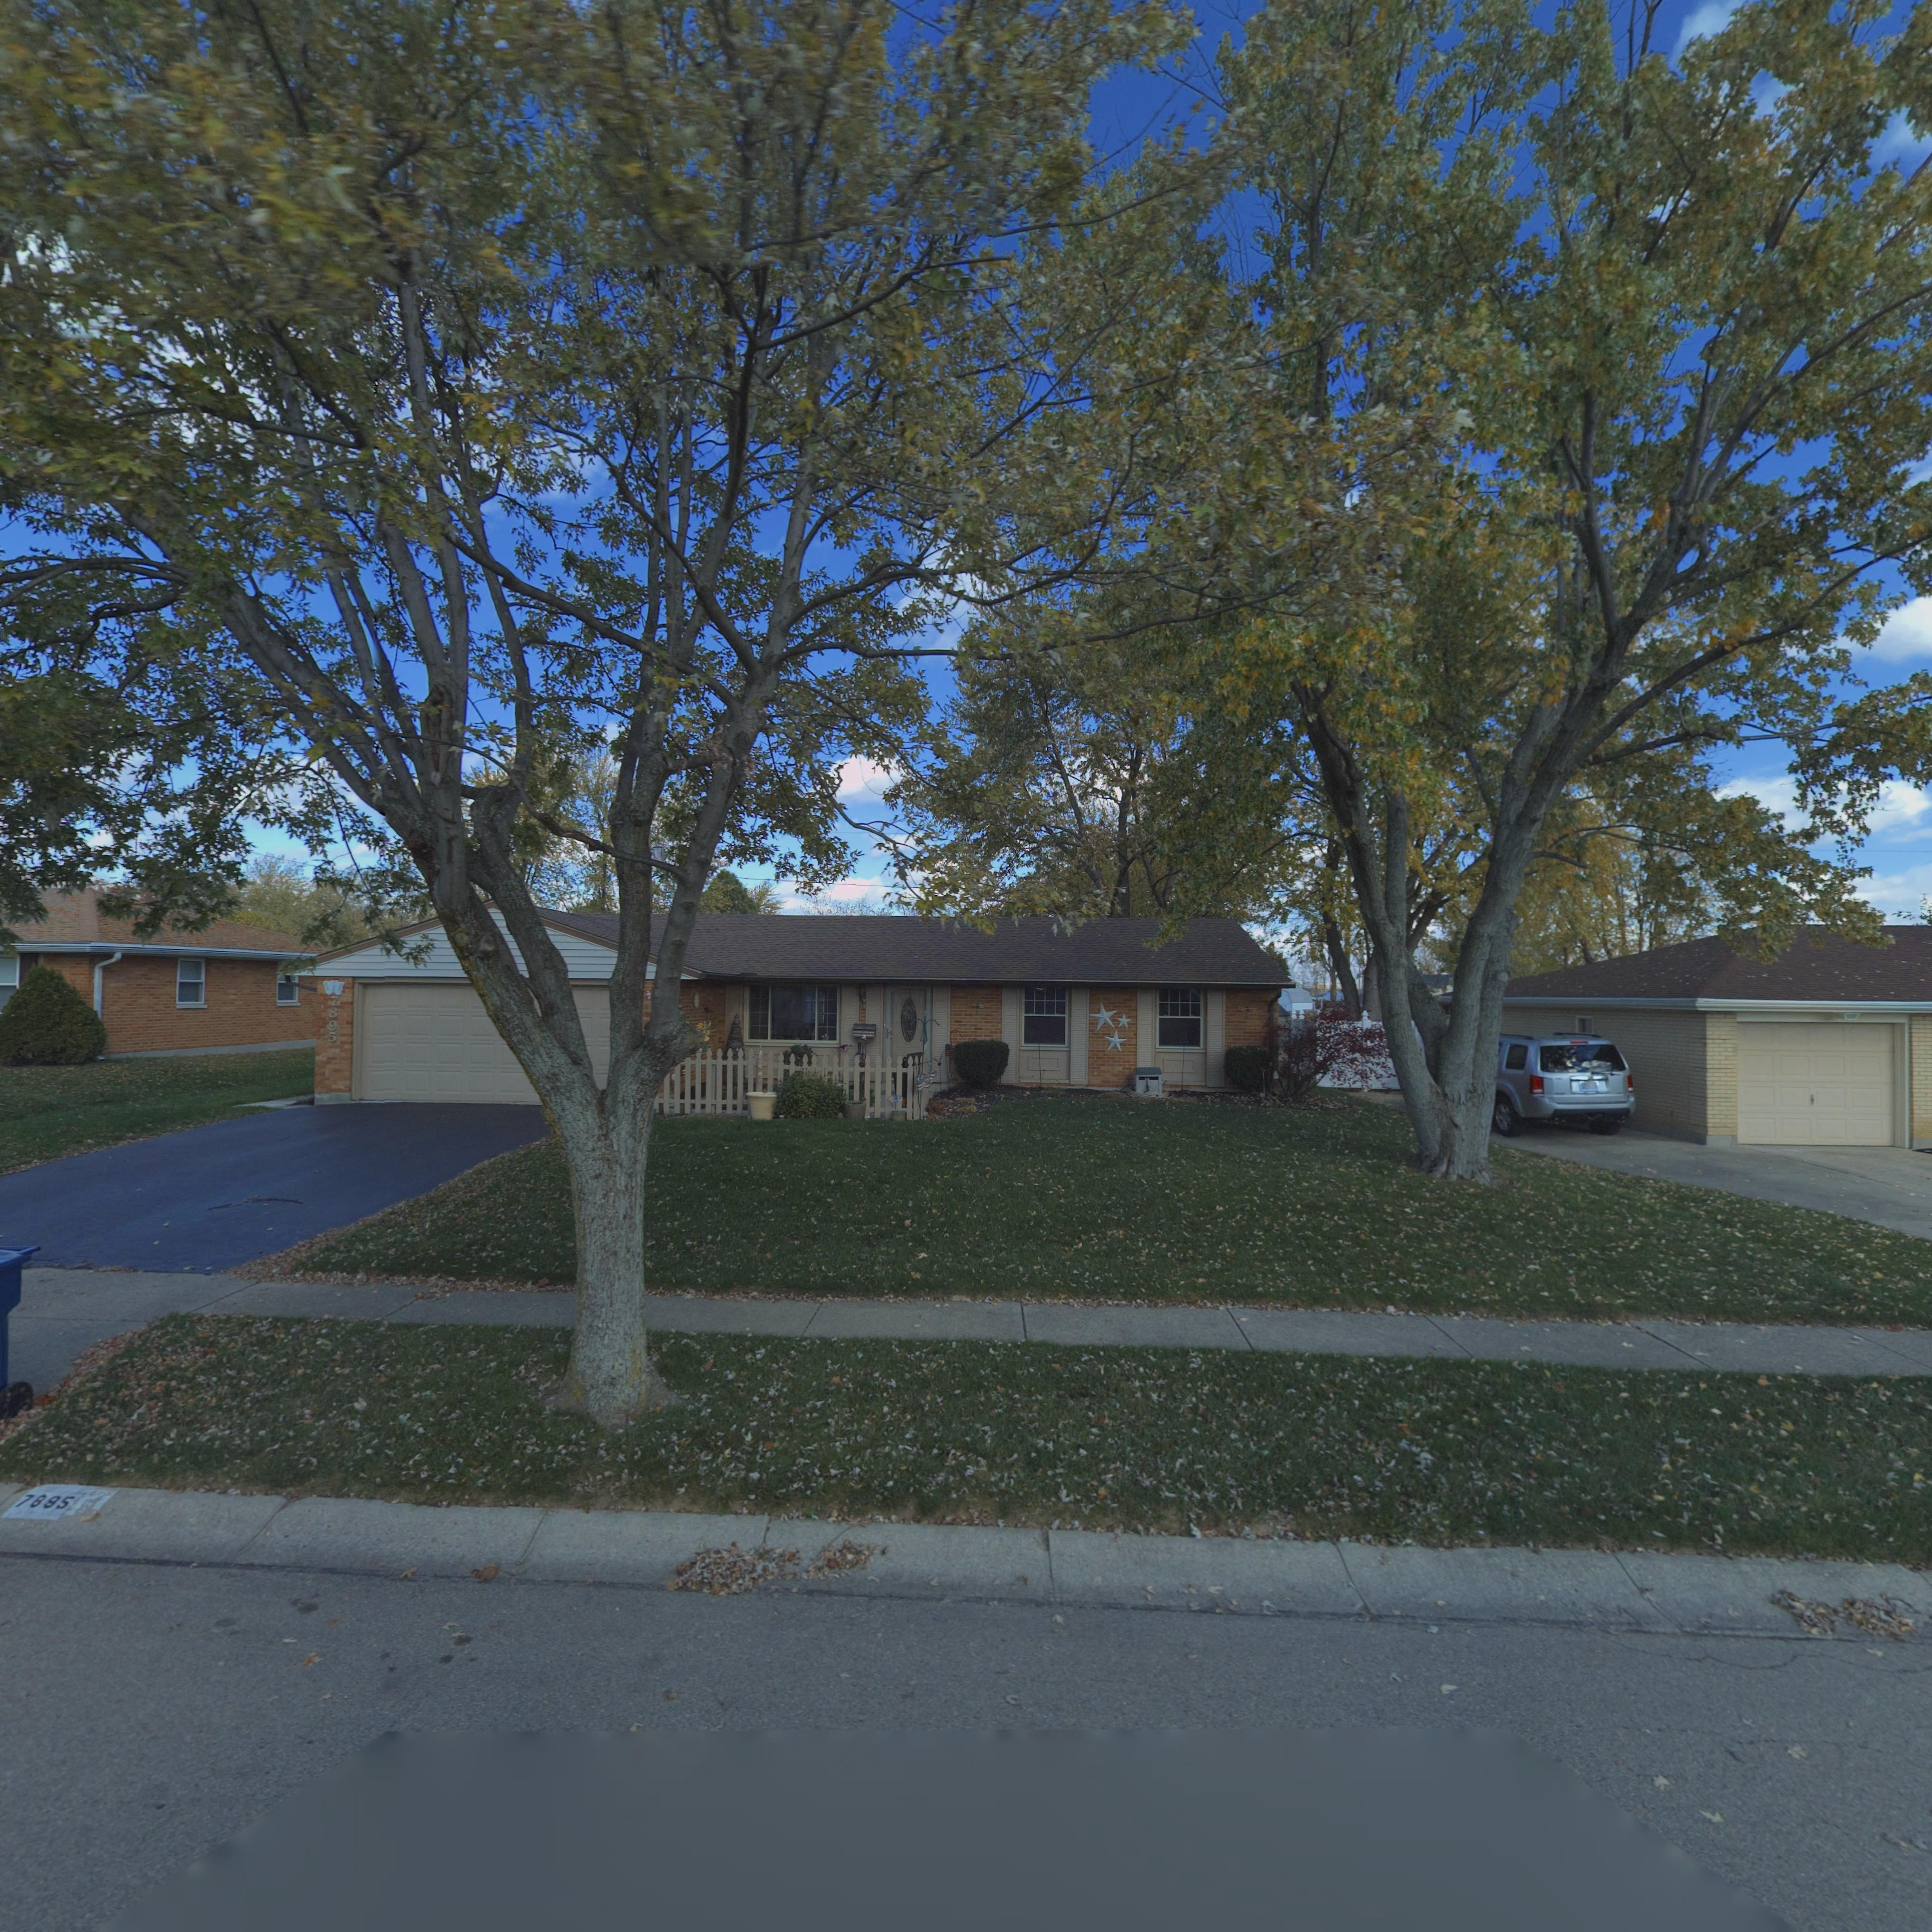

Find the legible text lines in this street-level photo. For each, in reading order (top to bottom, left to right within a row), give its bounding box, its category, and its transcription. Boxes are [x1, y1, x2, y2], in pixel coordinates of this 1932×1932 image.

[326, 995, 339, 1043] StreetNumber: 7895
[13, 1494, 76, 1510] StreetNumber: 7895